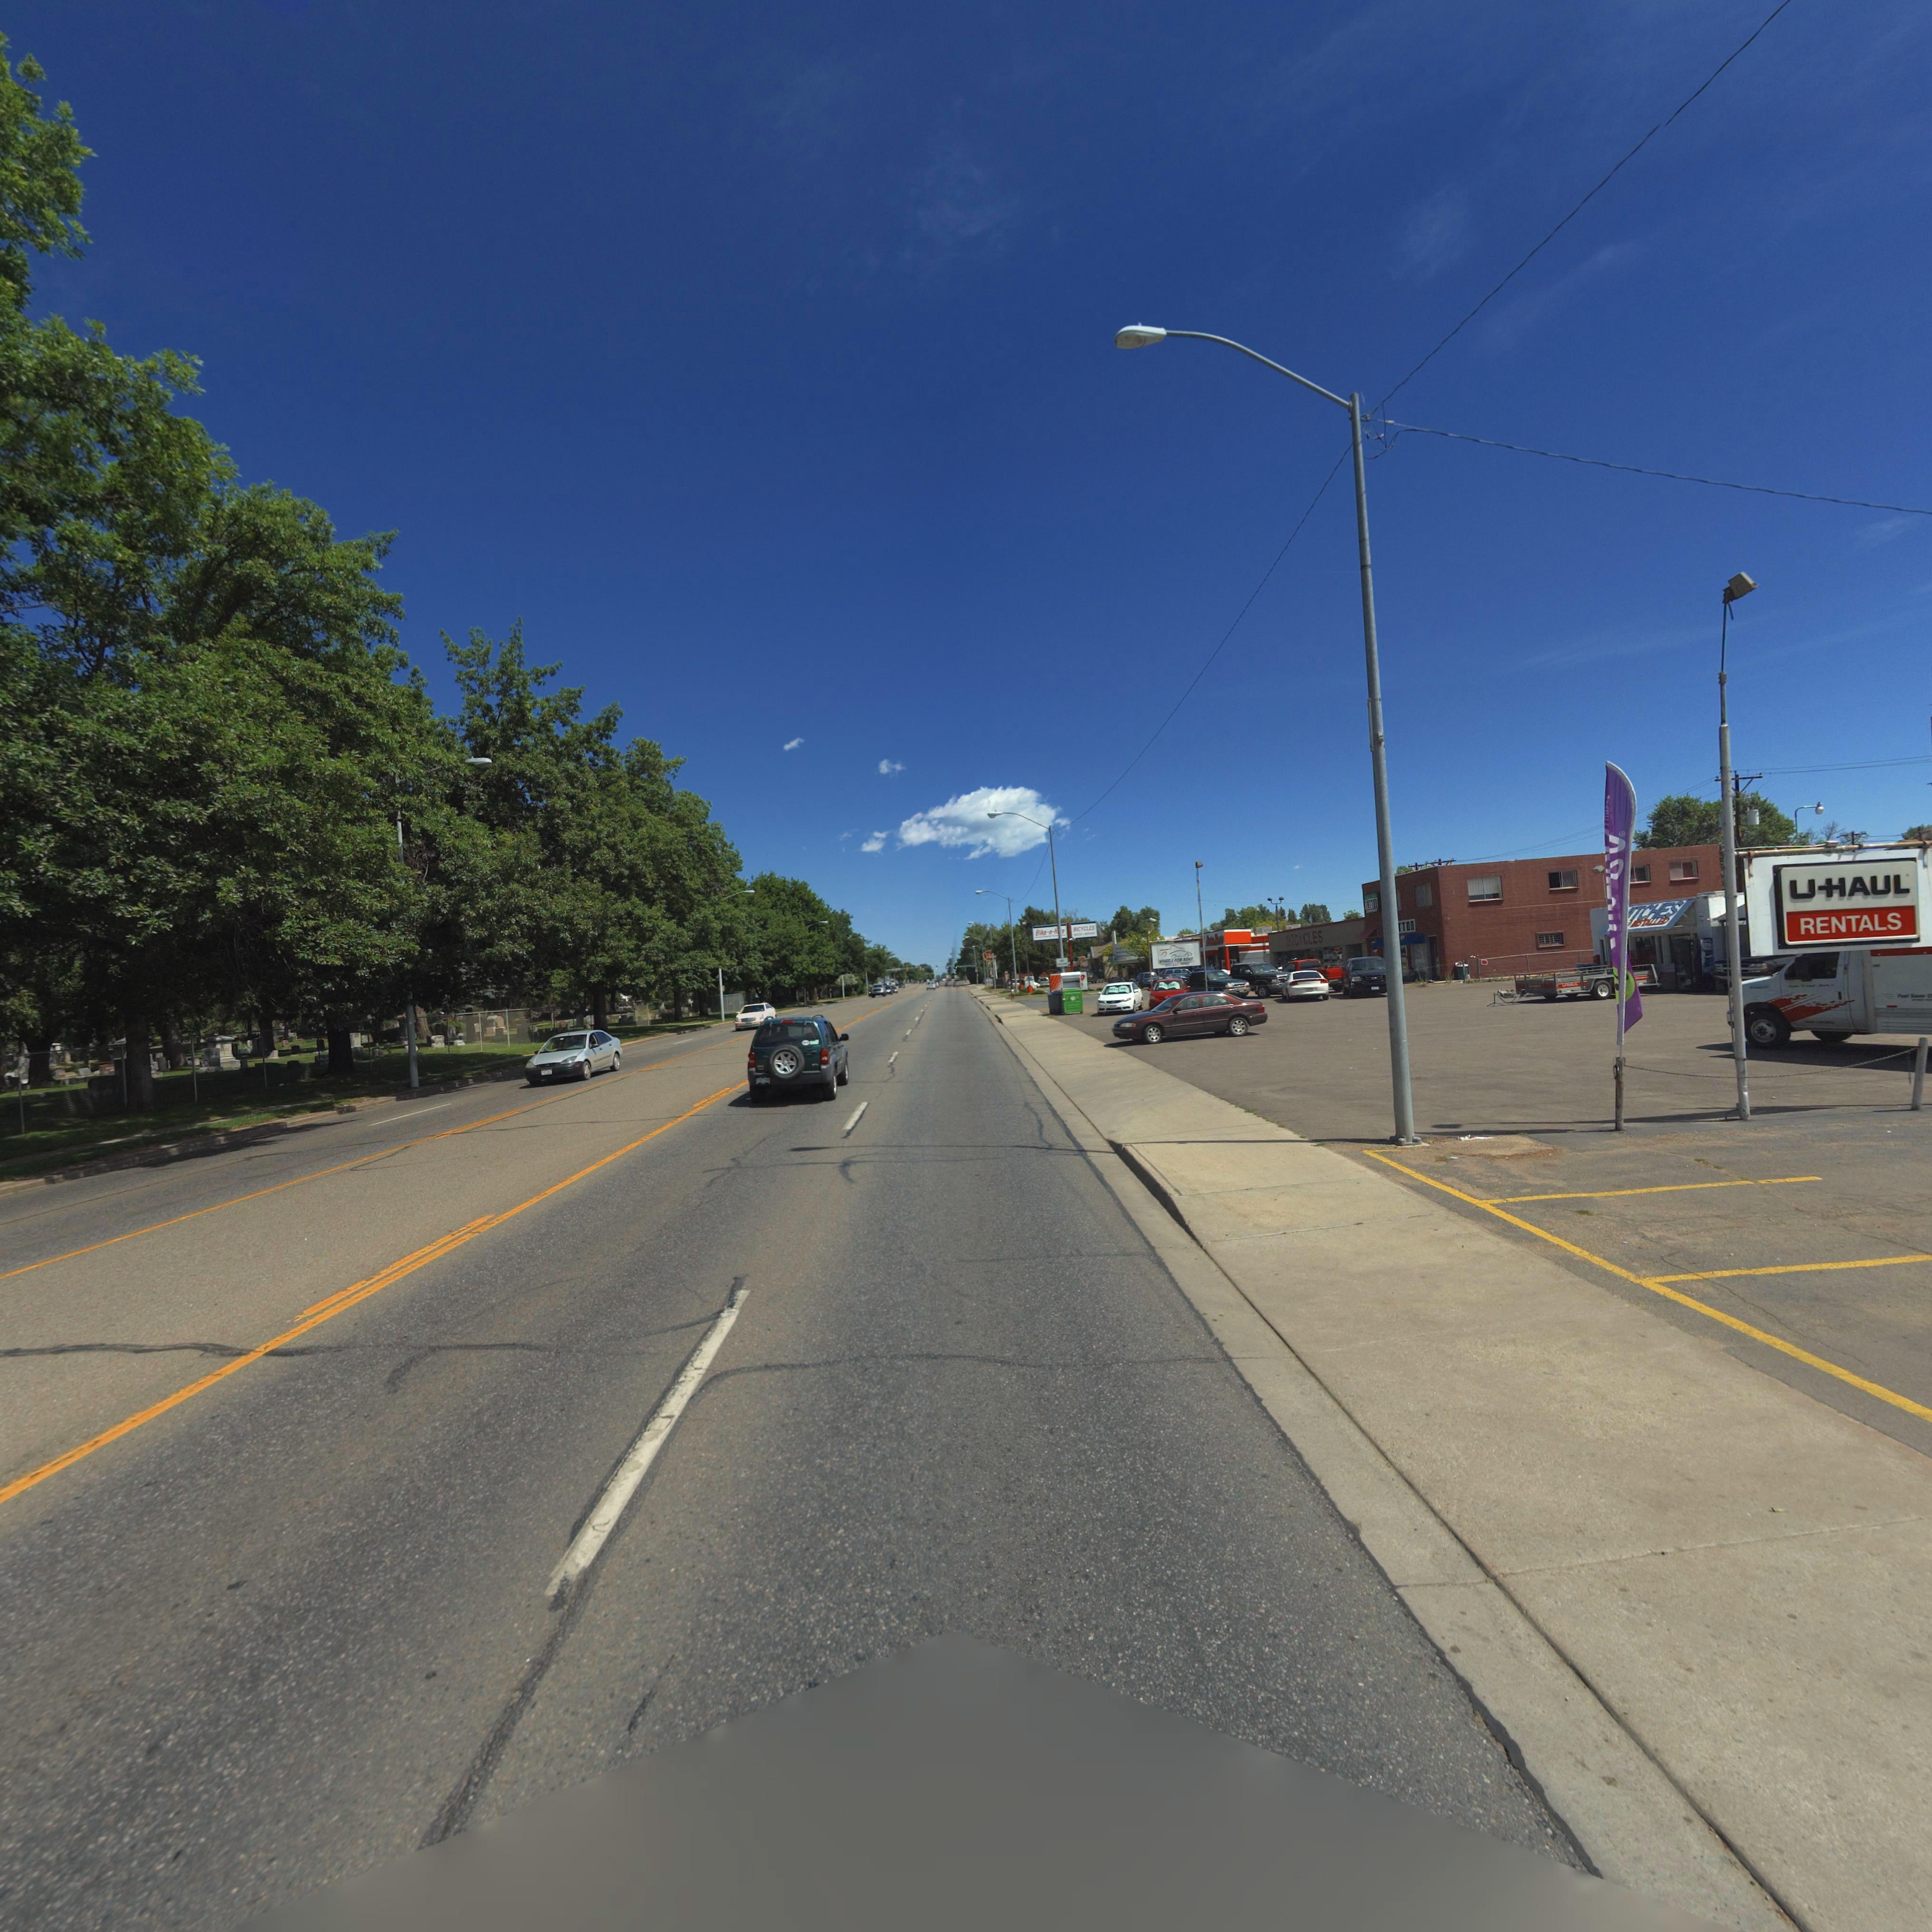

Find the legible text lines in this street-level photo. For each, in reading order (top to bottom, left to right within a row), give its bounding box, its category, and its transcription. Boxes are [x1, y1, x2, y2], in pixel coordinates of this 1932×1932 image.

[1788, 873, 1911, 900] BusinessName: U -HAUL
[1626, 900, 1685, 919] BusinessName: *TCHES
[1035, 927, 1065, 936] BusinessName: Bike-n-***e
[1205, 933, 1224, 947] BusinessName: ****Z***
[1798, 912, 1903, 935] BusinessName: RENTALS